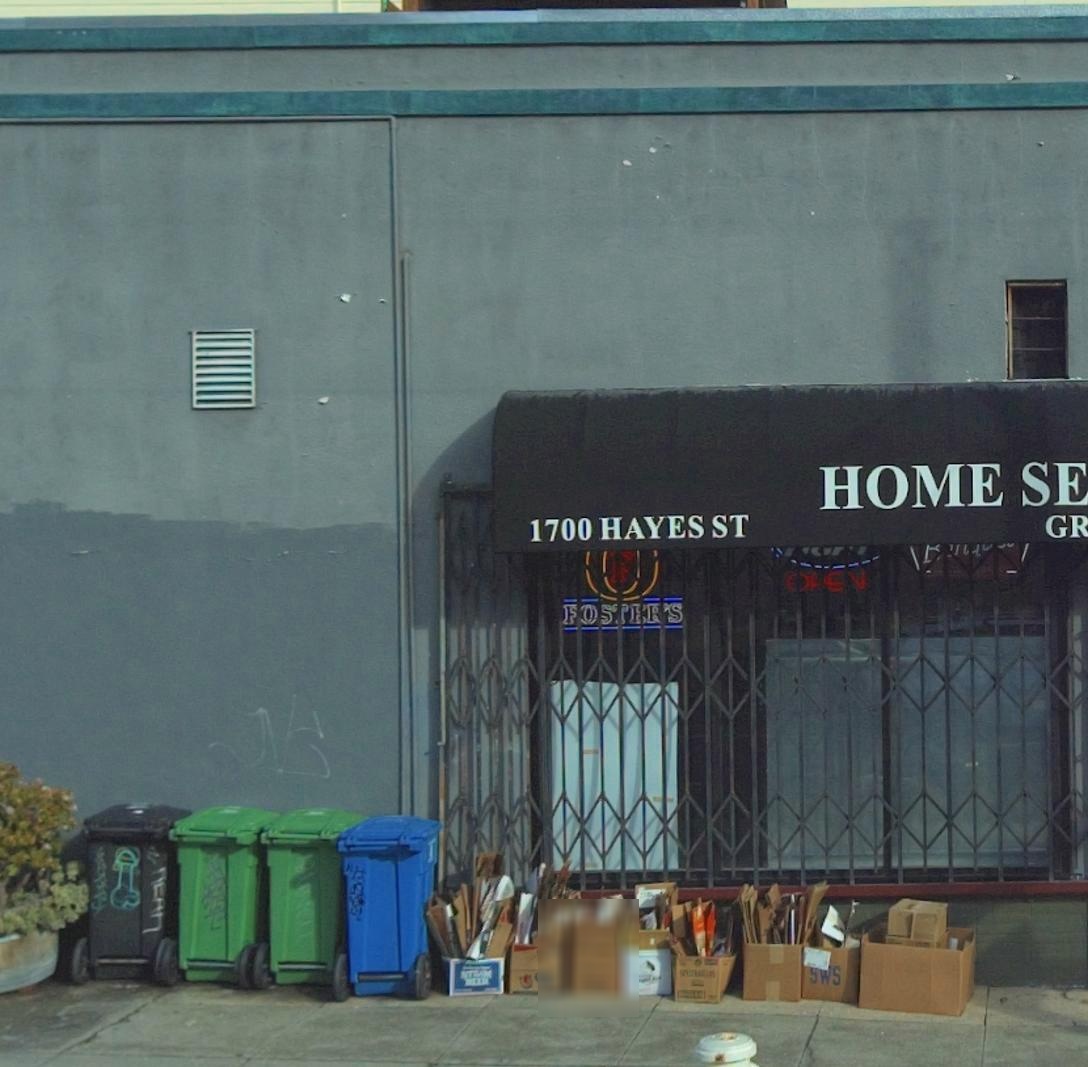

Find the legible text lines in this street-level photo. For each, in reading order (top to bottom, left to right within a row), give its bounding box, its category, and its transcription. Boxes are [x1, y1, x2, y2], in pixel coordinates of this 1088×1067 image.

[816, 460, 1088, 513] BusinessName: HOME SE
[529, 515, 594, 545] StreetNumber: 1700
[597, 512, 752, 542] StreetName: HAYES ST
[1043, 512, 1088, 541] None: GR
[825, 568, 847, 595] None: E
[665, 601, 685, 625] None: S
[830, 962, 843, 988] None: S